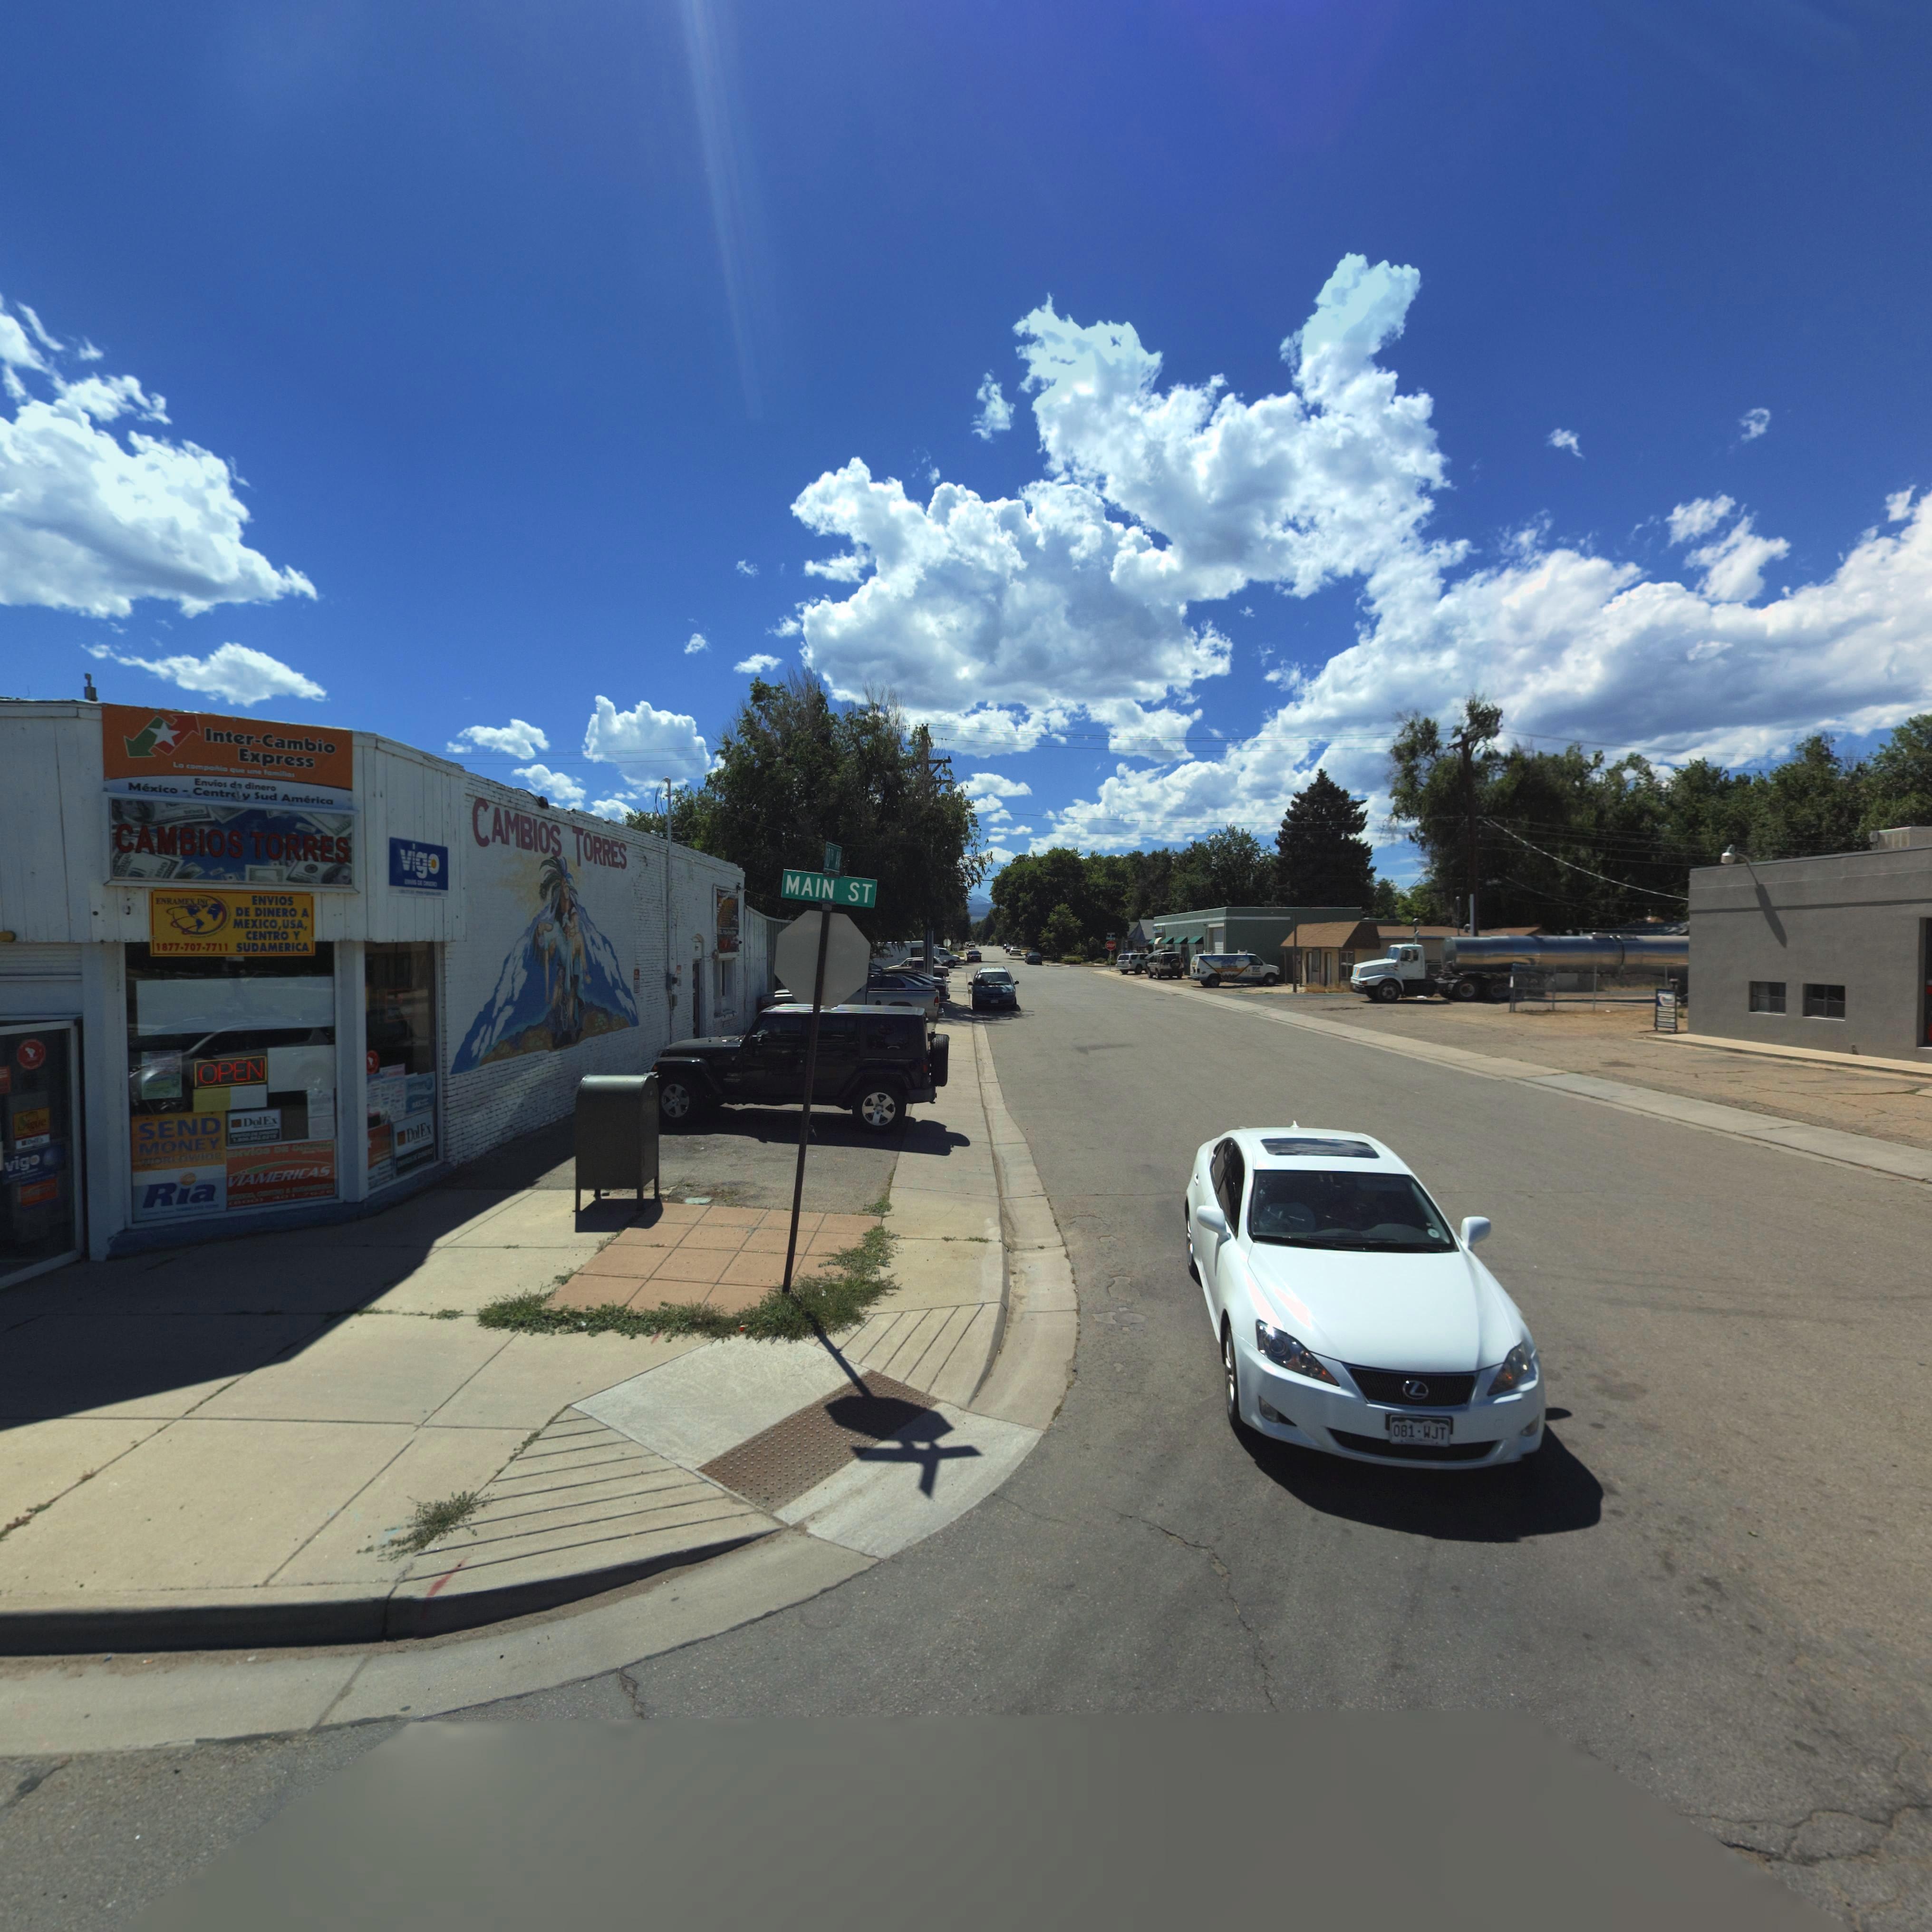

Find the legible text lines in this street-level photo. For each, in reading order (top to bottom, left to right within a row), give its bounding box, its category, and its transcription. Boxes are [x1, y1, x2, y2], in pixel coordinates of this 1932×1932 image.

[114, 822, 349, 863] BusinessName: CAMBIOS TORRES
[472, 797, 627, 869] BusinessName: CAMBIOS TORRES
[824, 847, 841, 869] StreetName: 10TH AV
[785, 874, 873, 903] StreetName: MAIN ST